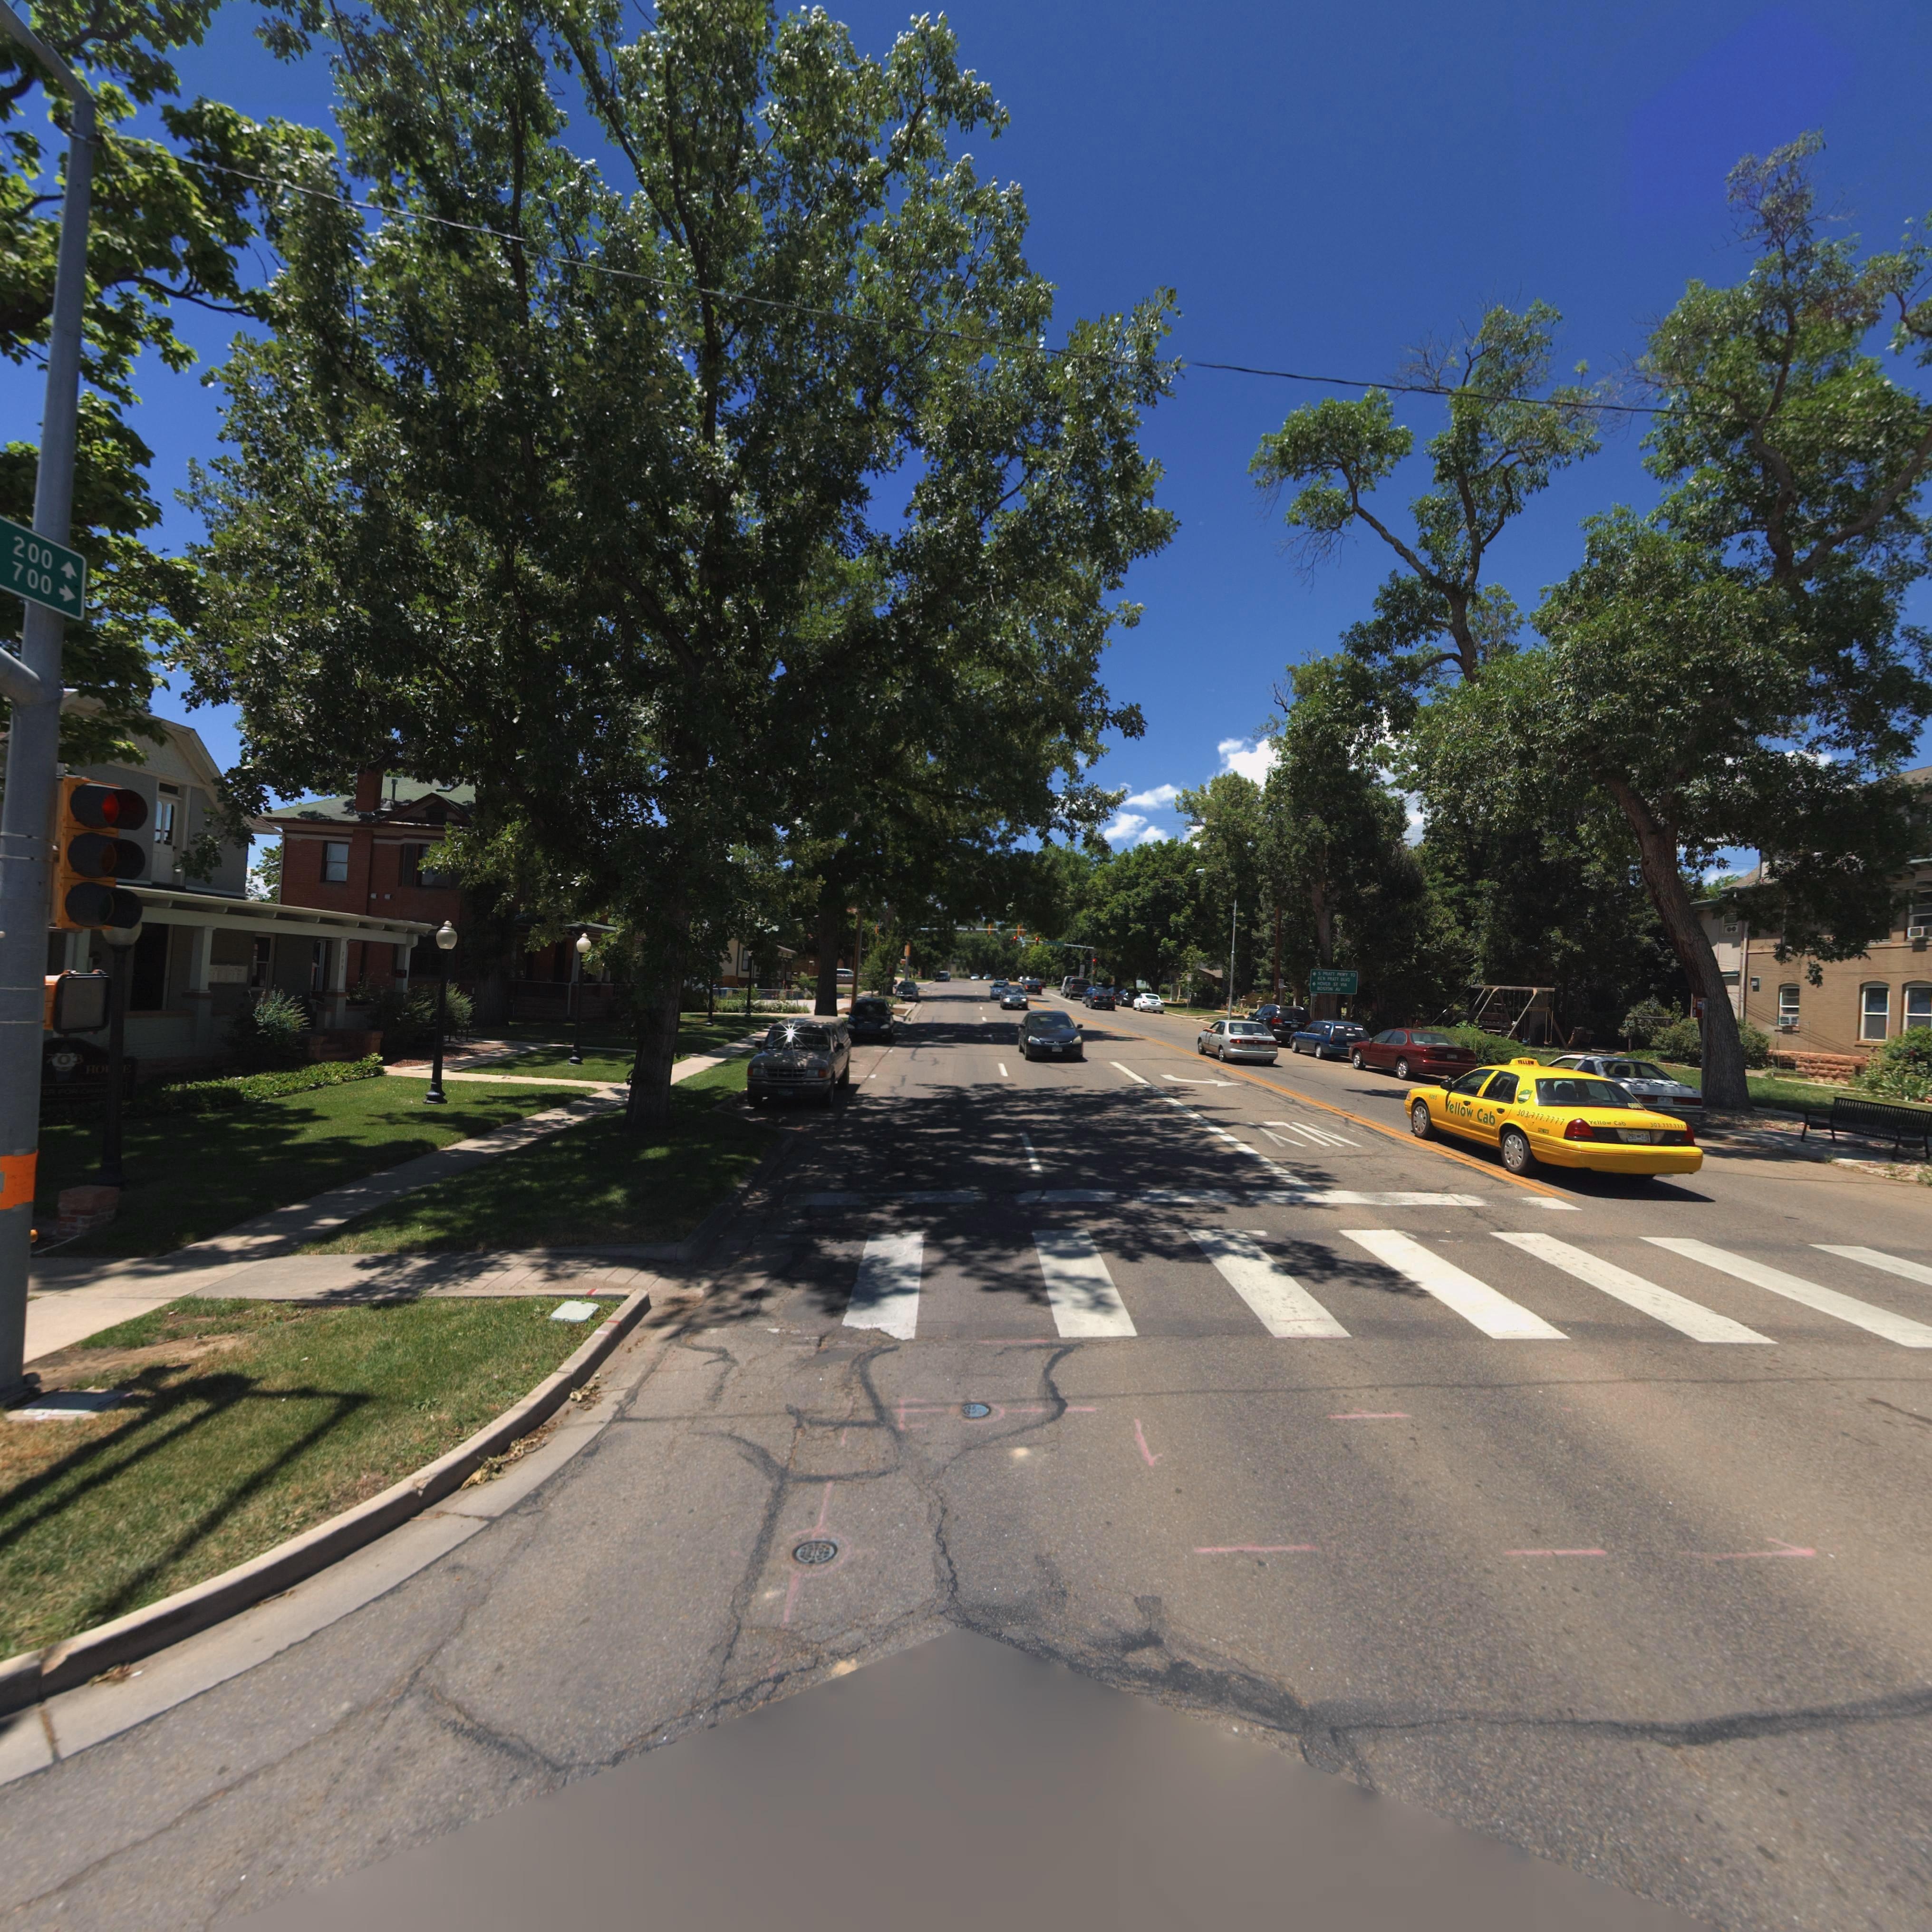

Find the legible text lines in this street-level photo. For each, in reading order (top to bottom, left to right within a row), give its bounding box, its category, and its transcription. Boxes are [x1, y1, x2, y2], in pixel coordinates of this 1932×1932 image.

[11, 534, 55, 570] StreetNumberRange: 200
[10, 560, 77, 606] StreetNumberRange: 700 ->
[44, 1053, 83, 1065] StreetNumber: 703
[86, 1064, 132, 1074] BusinessName: HO**E